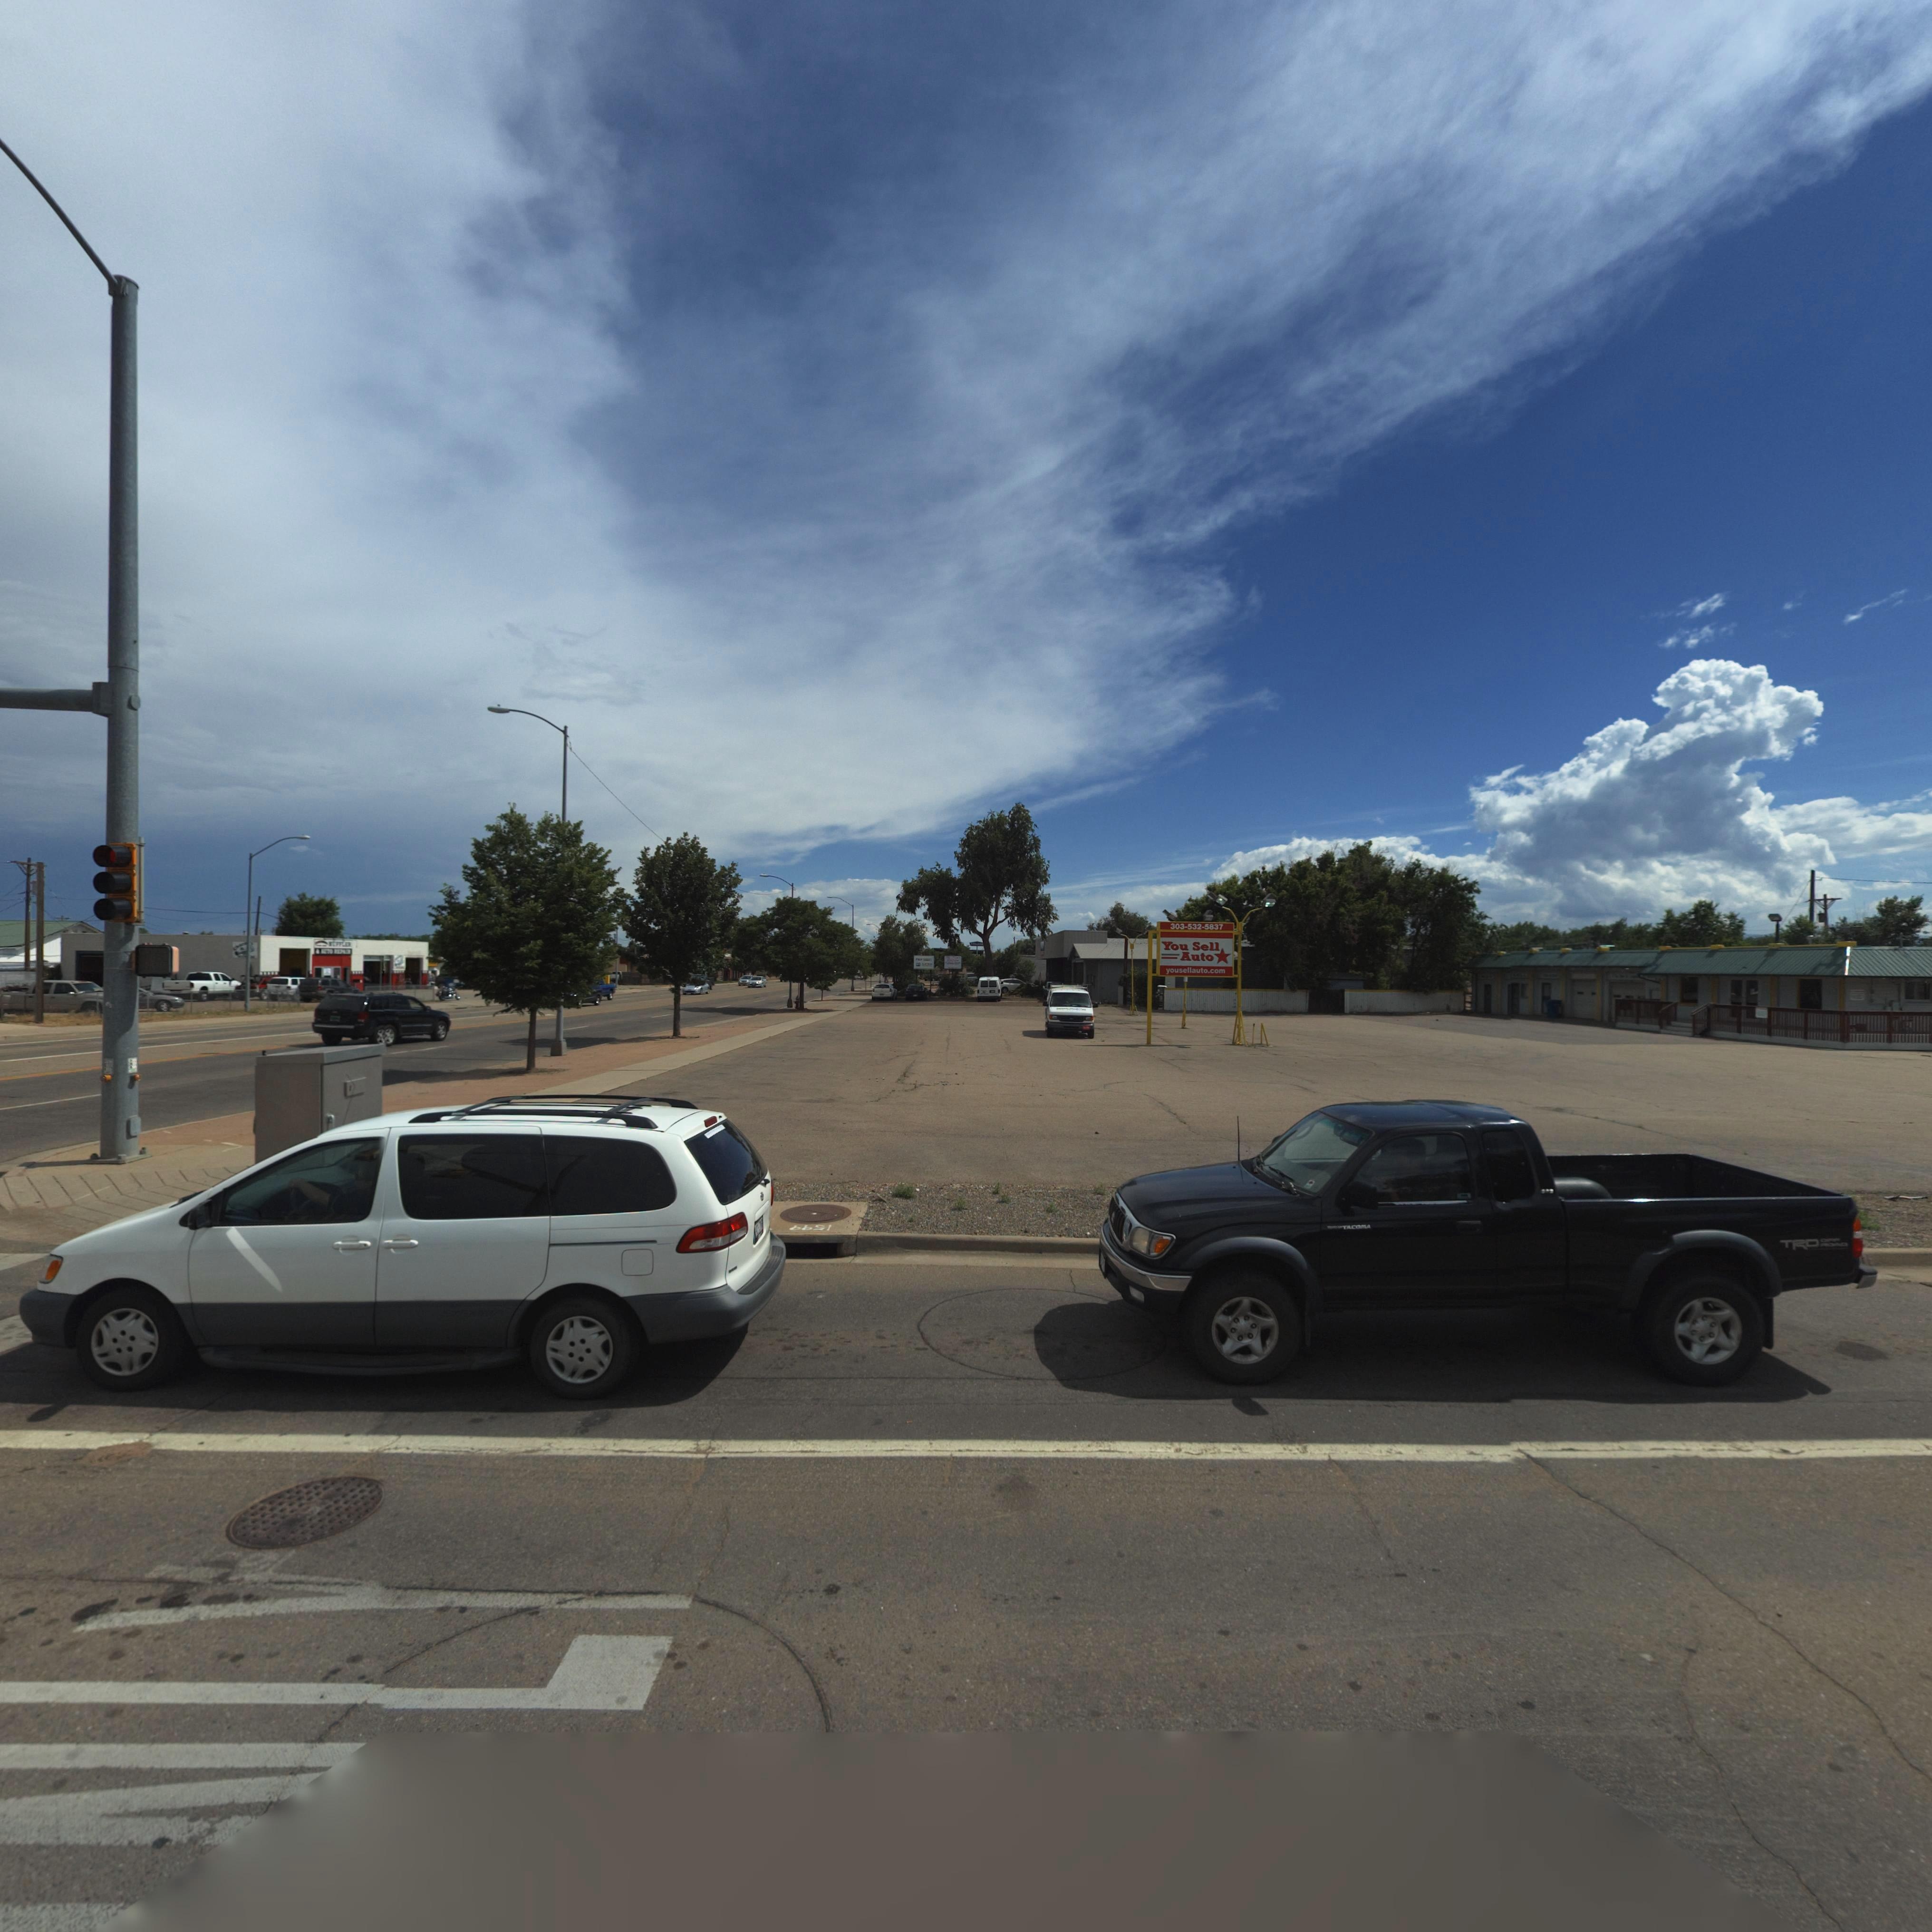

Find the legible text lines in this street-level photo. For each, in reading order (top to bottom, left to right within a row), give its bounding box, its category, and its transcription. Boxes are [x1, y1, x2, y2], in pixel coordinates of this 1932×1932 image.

[328, 941, 351, 947] BusinessName: **FFL**
[1161, 941, 1219, 950] BusinessName: You Sell
[315, 948, 351, 954] BusinessName: * **TO ******
[1179, 952, 1214, 961] BusinessName: Auto